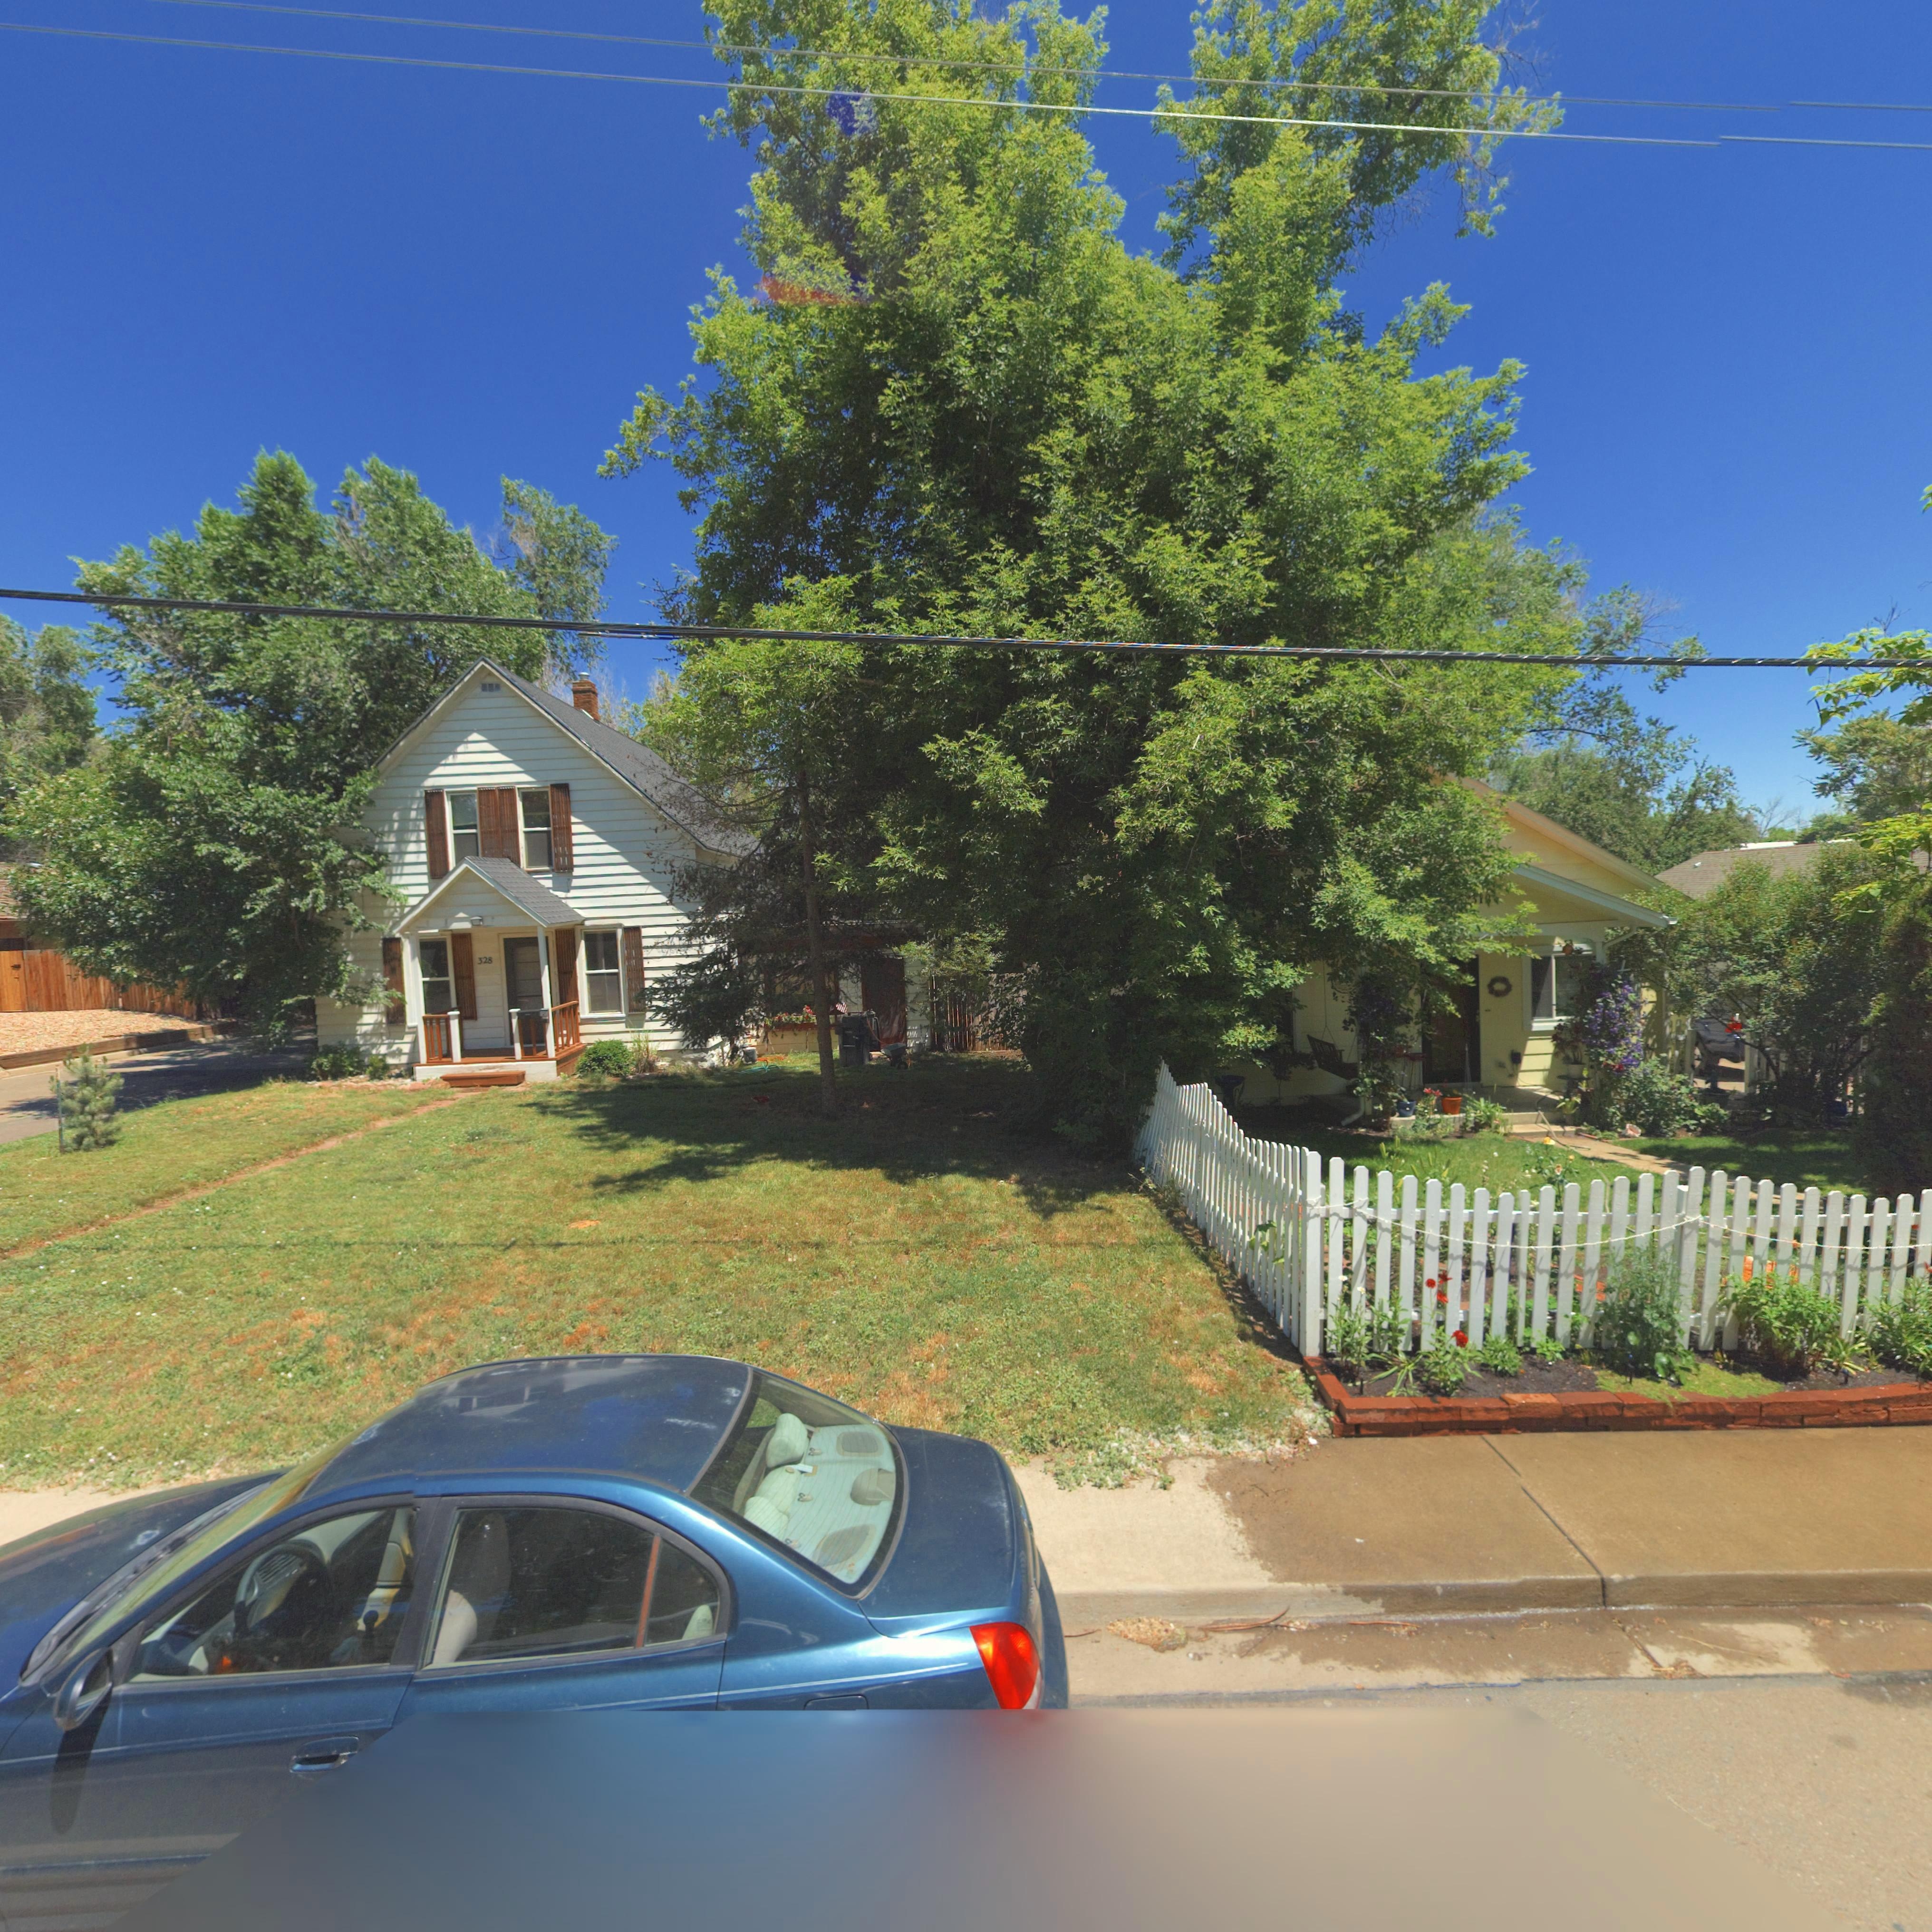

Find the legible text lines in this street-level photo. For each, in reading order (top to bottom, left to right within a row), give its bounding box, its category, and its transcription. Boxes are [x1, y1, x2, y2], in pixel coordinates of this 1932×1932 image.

[1469, 891, 1491, 904] StreetNumber: 31*
[477, 956, 493, 965] StreetNumber: 328